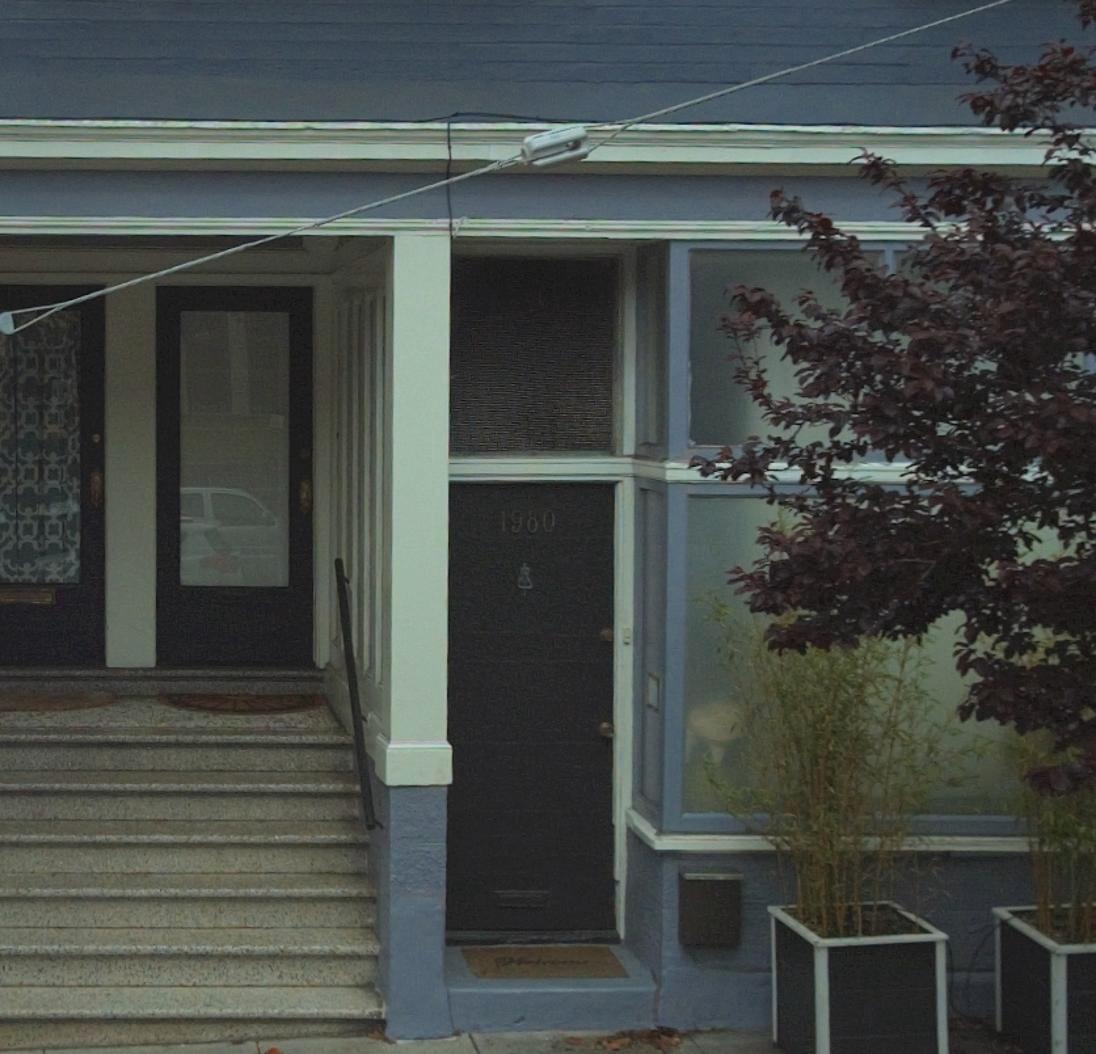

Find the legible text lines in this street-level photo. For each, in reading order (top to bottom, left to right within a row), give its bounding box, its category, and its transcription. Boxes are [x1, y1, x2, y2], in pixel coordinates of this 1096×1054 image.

[497, 504, 556, 536] StreetNumber: 1980